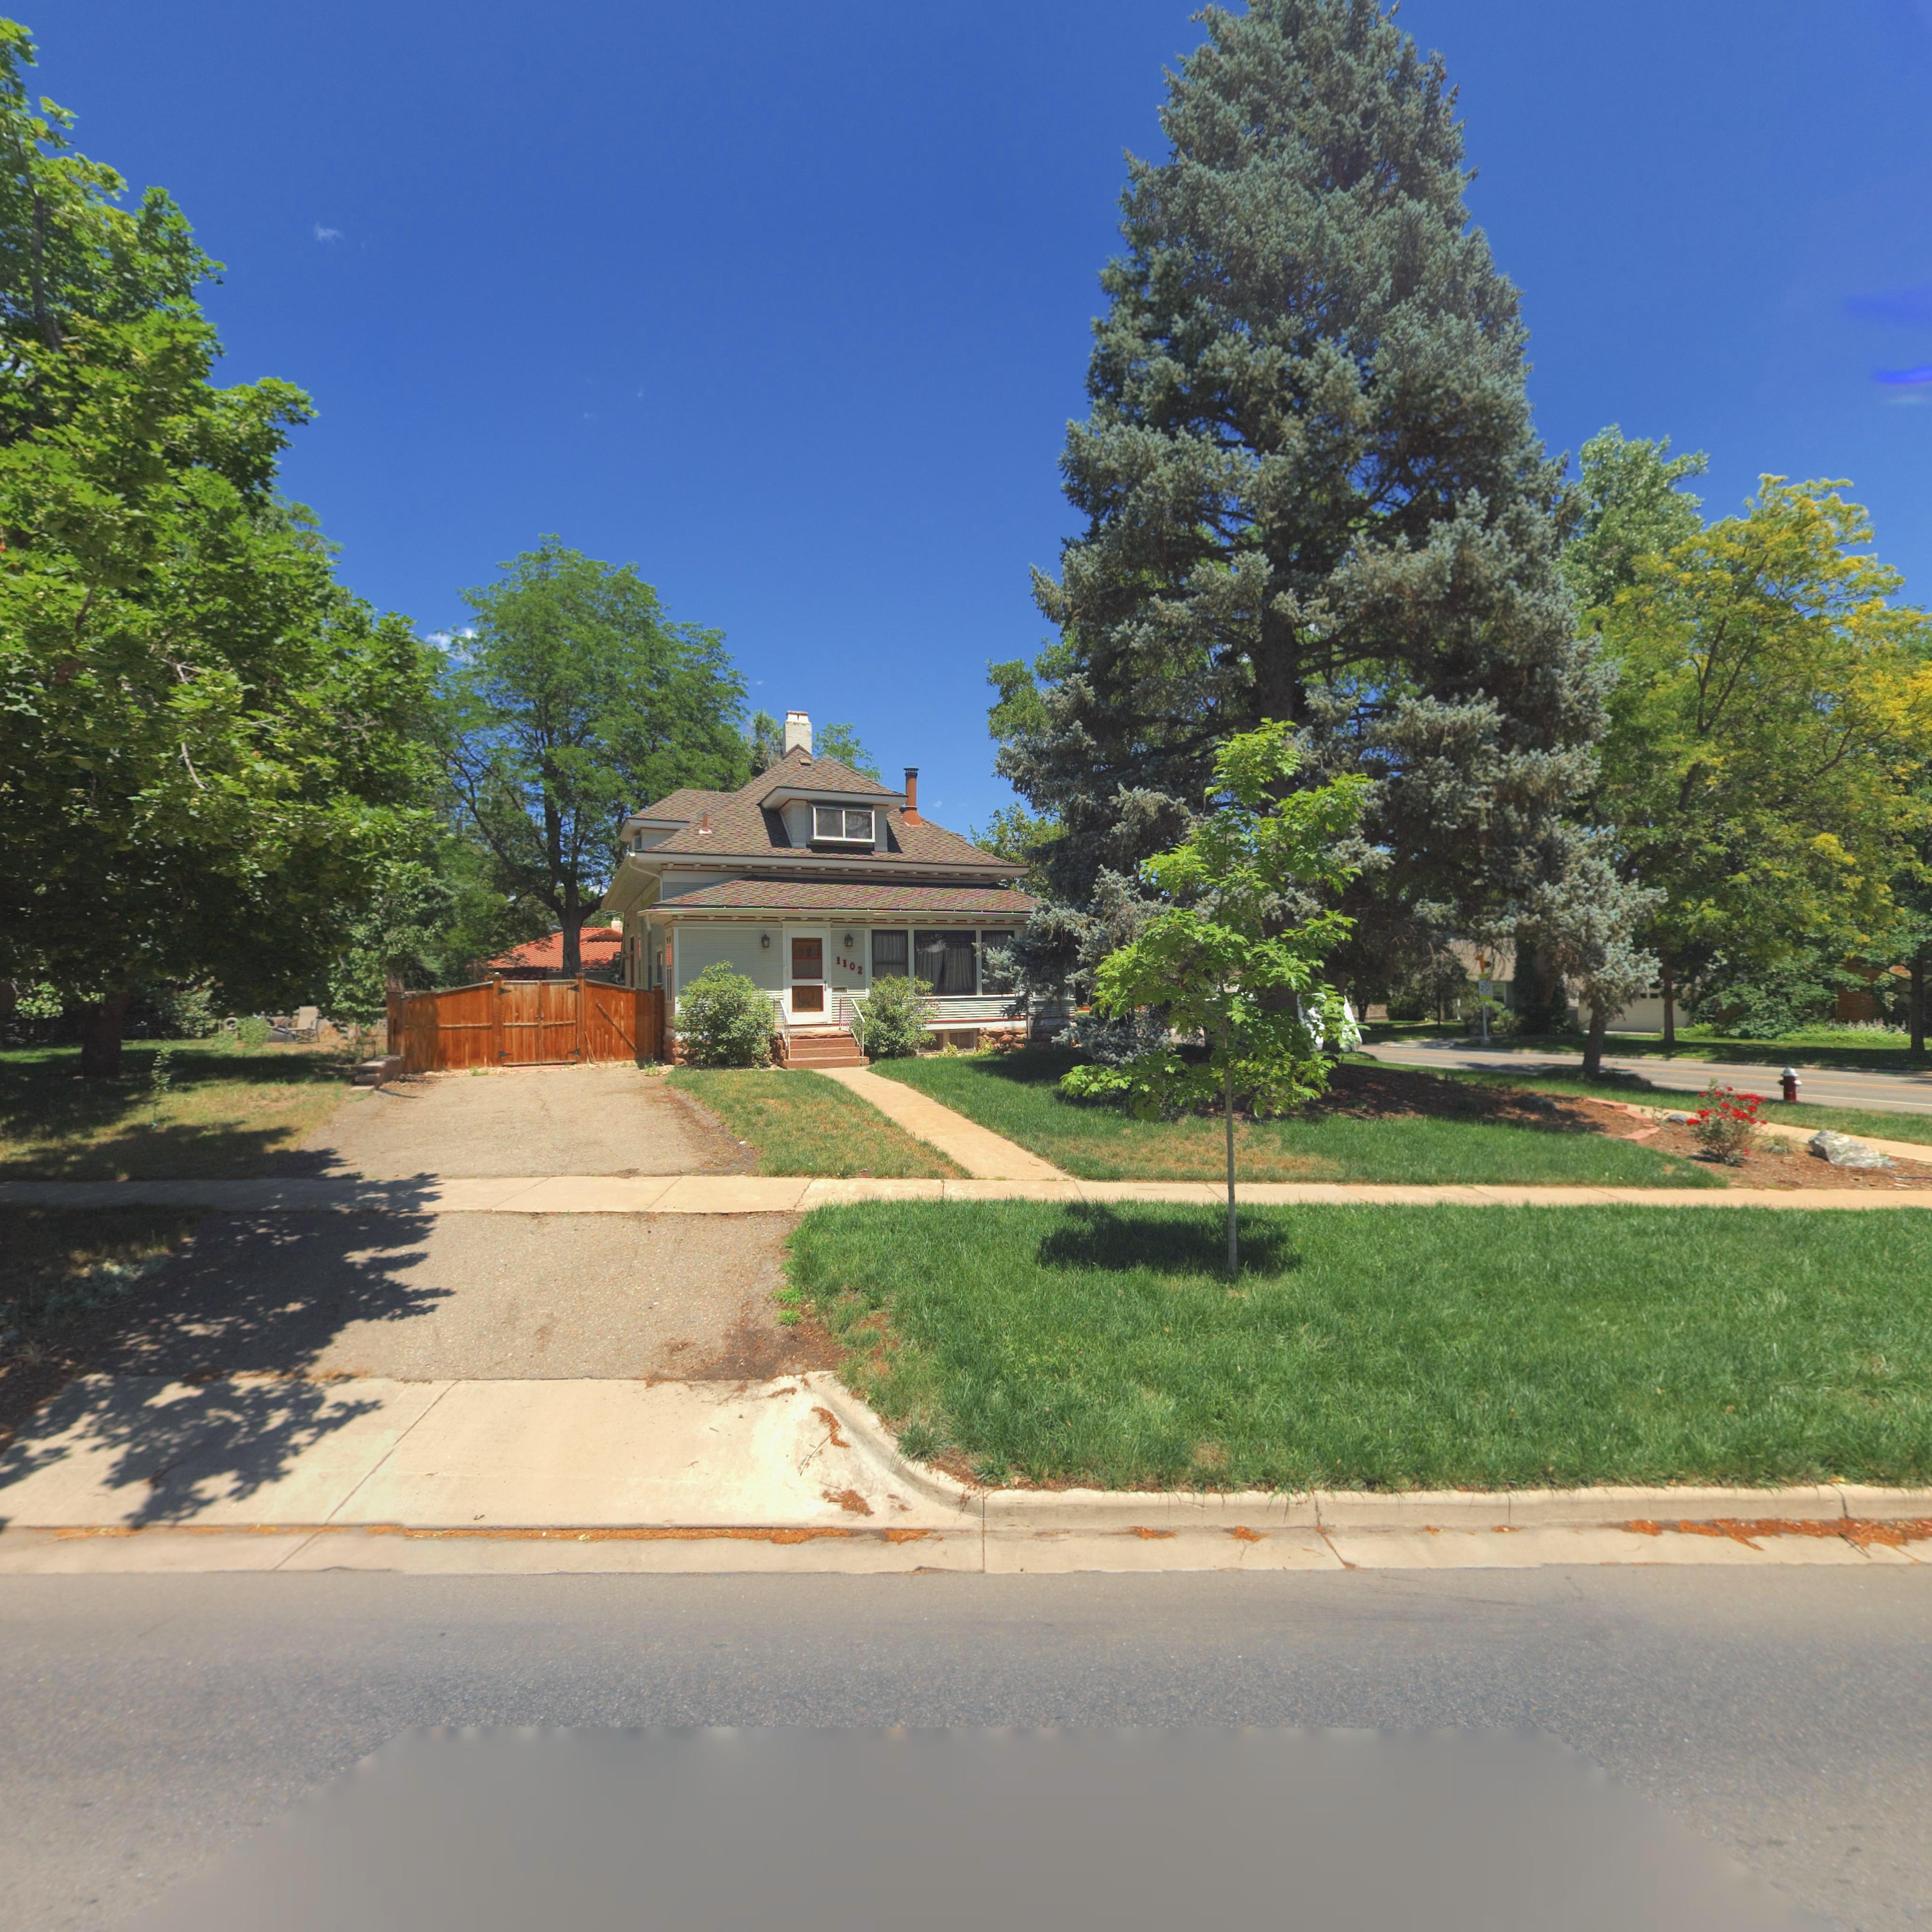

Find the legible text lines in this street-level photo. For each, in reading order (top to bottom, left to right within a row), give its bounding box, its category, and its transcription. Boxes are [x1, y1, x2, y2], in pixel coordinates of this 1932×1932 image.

[836, 956, 863, 974] StreetNumber: 1102